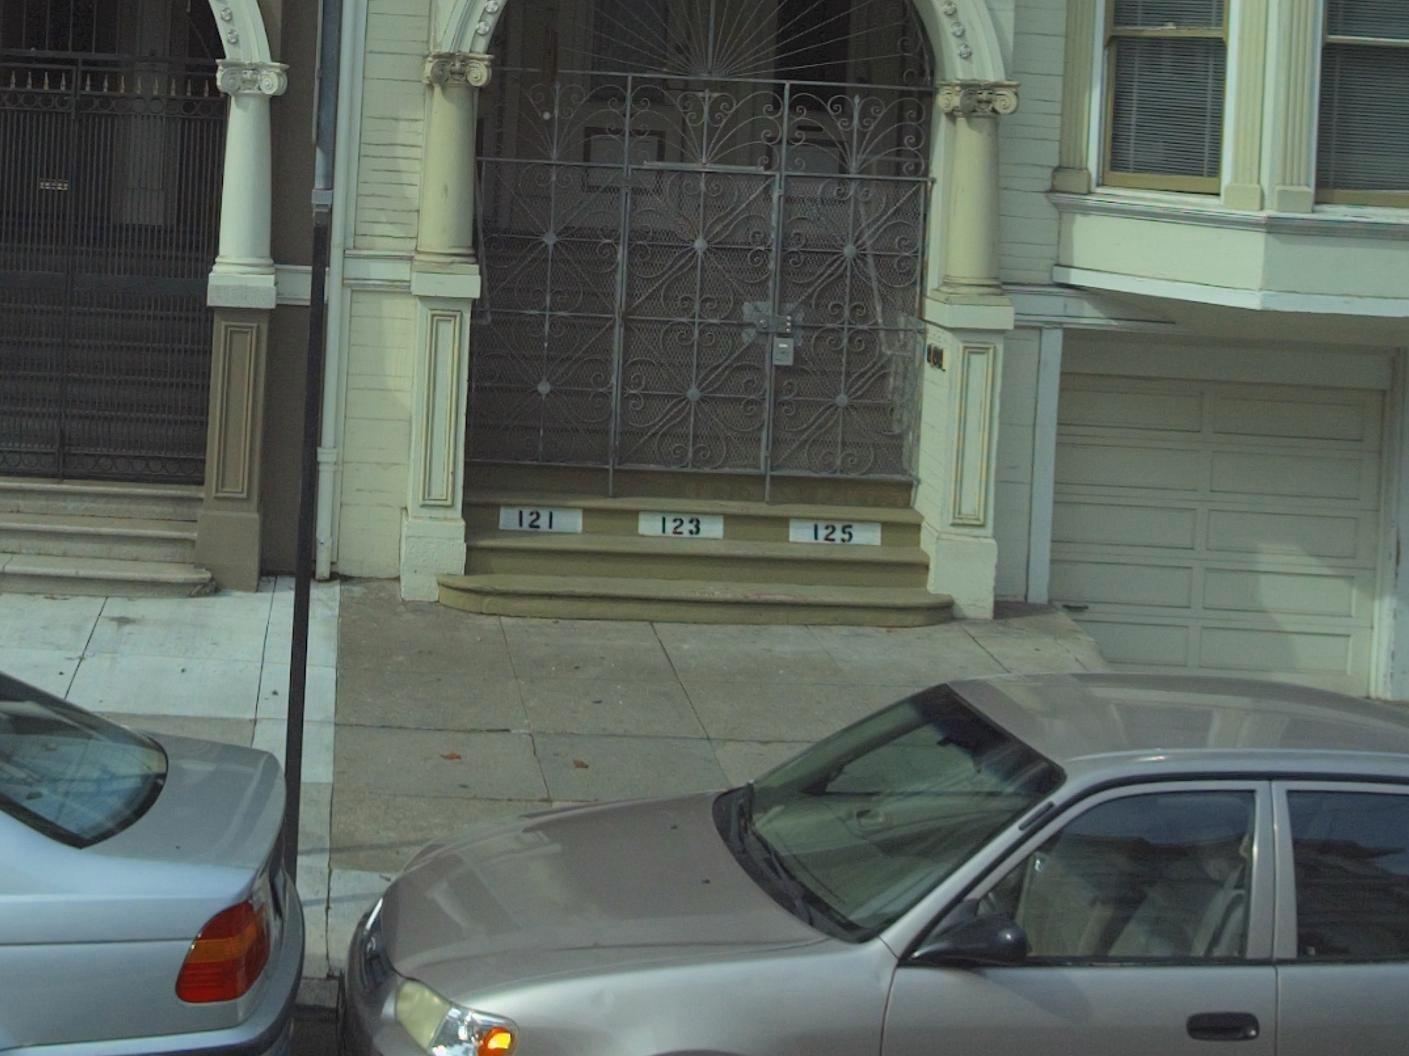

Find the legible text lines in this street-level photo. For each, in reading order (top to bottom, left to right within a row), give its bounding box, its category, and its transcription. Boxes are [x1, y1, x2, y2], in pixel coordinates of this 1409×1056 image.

[516, 507, 556, 532] StreetNumber: 121
[660, 514, 703, 538] StreetNumber: 123
[812, 521, 855, 545] StreetNumber: 125